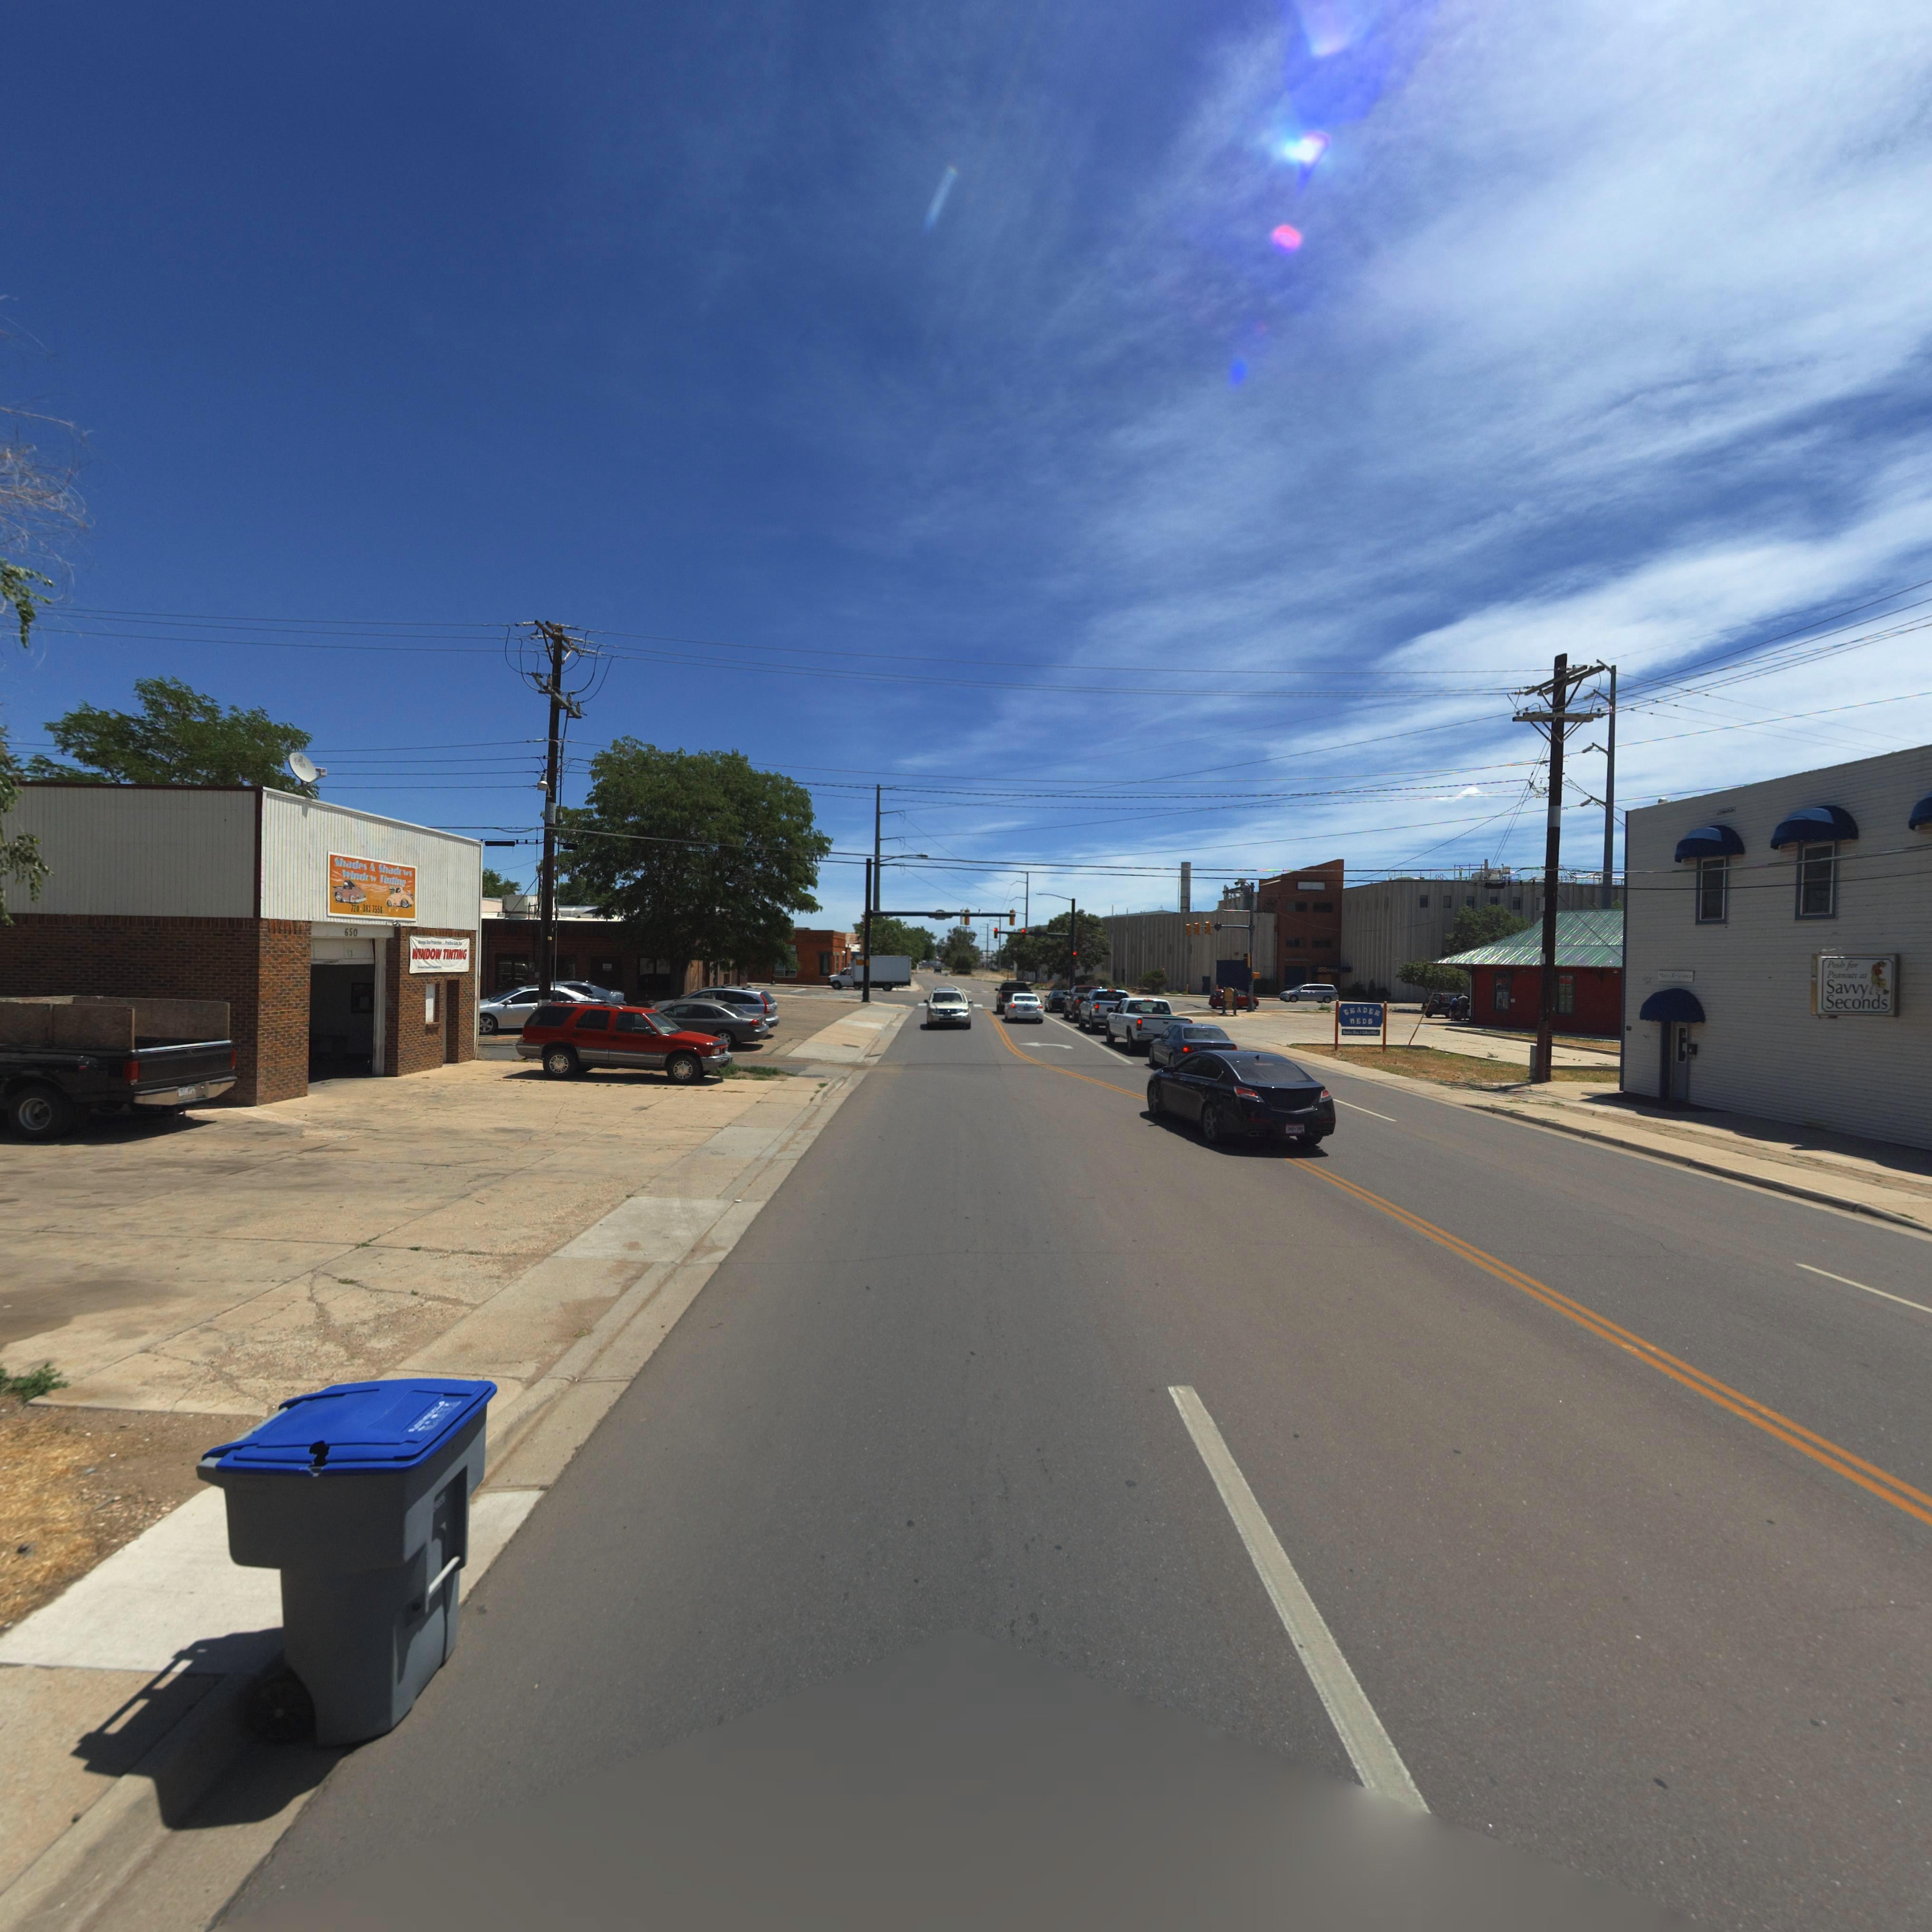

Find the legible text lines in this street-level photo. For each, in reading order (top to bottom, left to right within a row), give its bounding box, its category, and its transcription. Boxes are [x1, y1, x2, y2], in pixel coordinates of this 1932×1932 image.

[333, 856, 413, 877] BusinessName: Shades & Shadows
[344, 927, 358, 936] StreetNumber: 650
[1317, 966, 1327, 972] StreetNumber: 150
[1826, 978, 1869, 1000] BusinessName: Savvy
[1825, 993, 1888, 1010] BusinessName: Seconds
[1343, 1006, 1380, 1016] BusinessName: TRADER
[1349, 1018, 1373, 1024] BusinessName: MEDS
[1625, 1025, 1632, 1031] StreetNumber: 6**